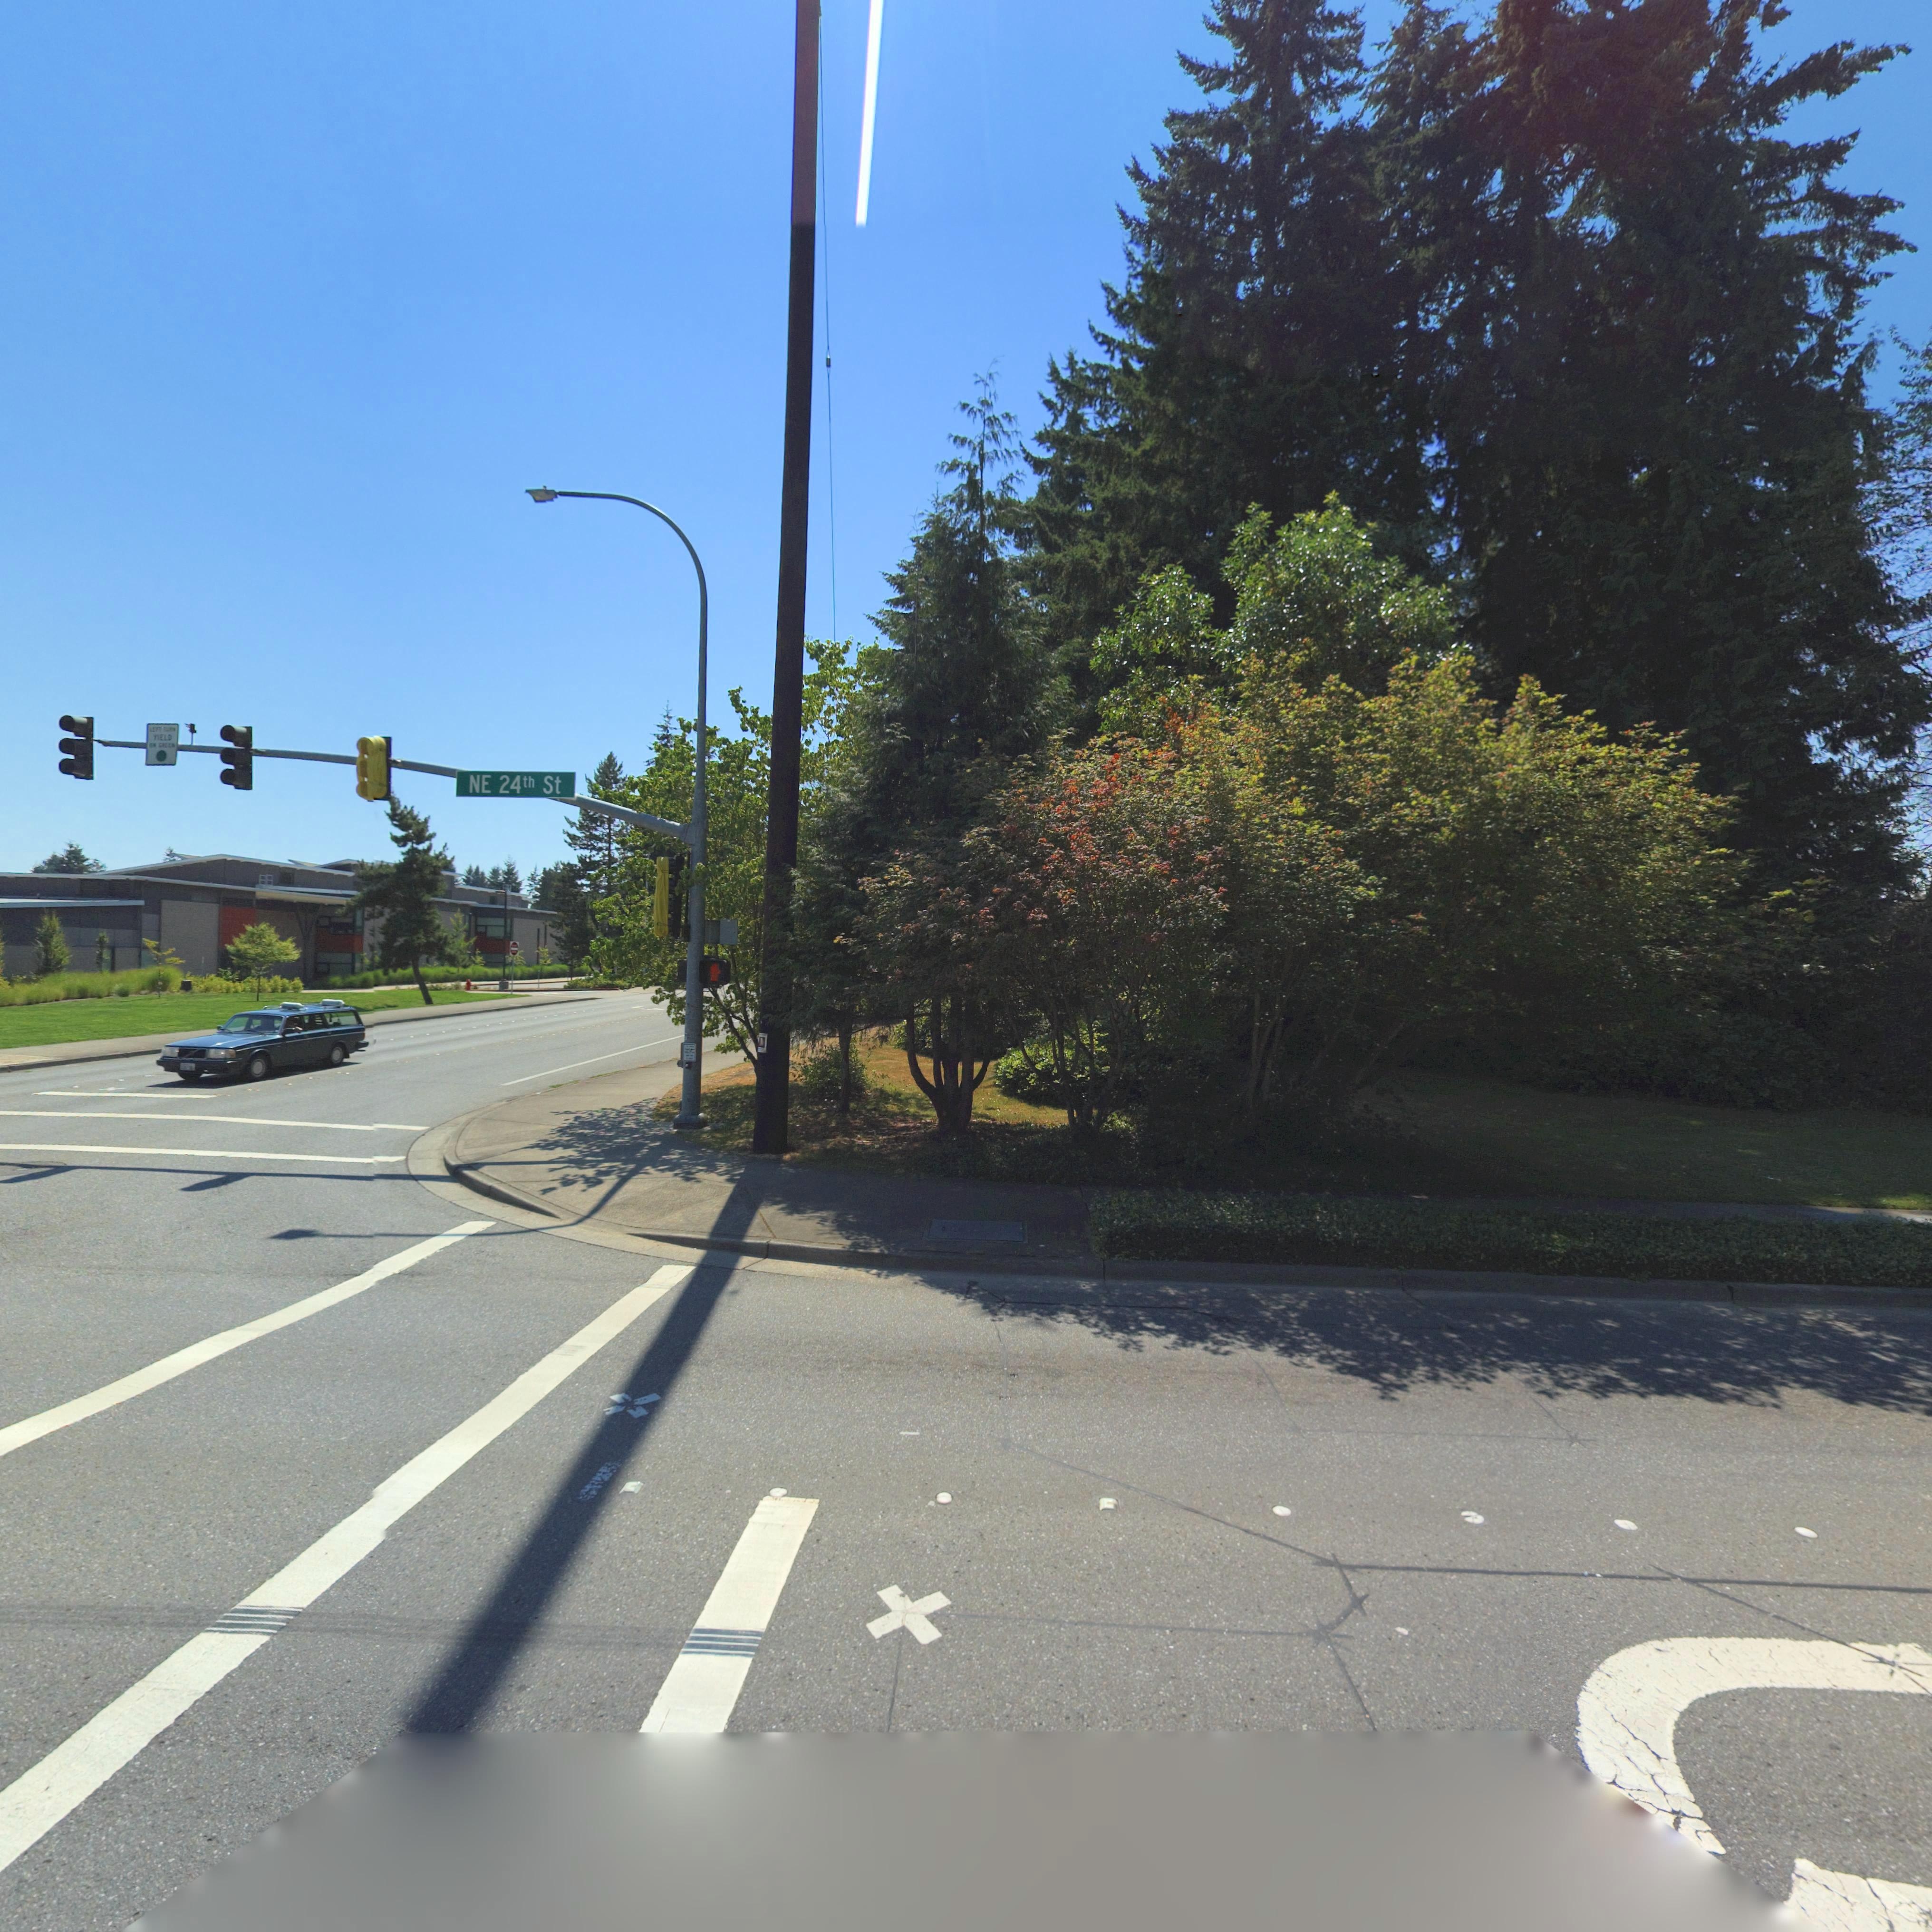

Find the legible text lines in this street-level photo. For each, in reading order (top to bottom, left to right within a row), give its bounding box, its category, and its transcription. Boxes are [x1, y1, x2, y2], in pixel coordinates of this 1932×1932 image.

[470, 774, 560, 793] StreetName: NE 24th St